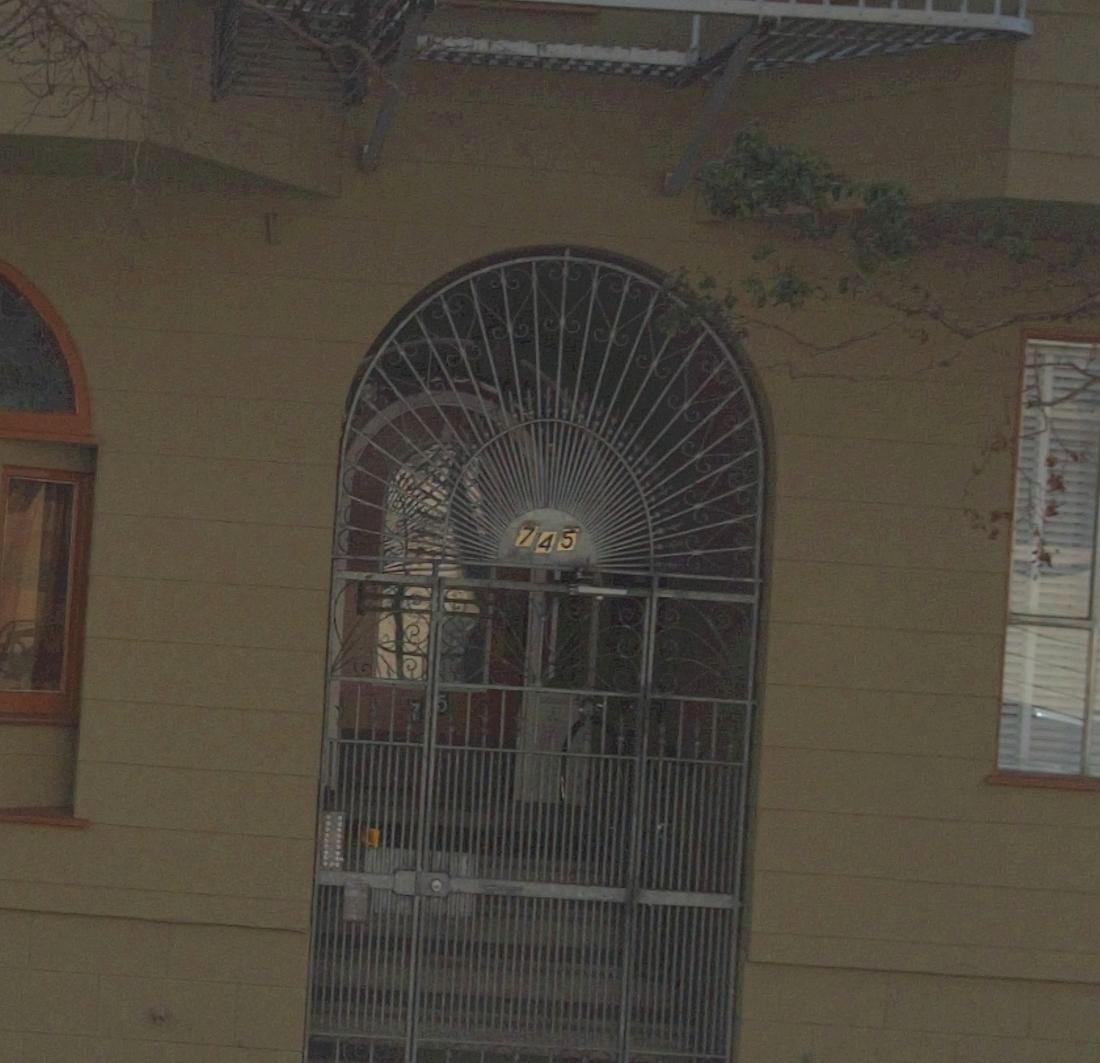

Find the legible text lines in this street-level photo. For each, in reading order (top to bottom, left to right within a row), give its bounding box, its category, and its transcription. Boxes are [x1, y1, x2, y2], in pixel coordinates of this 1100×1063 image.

[516, 525, 577, 553] StreetNumber: 745